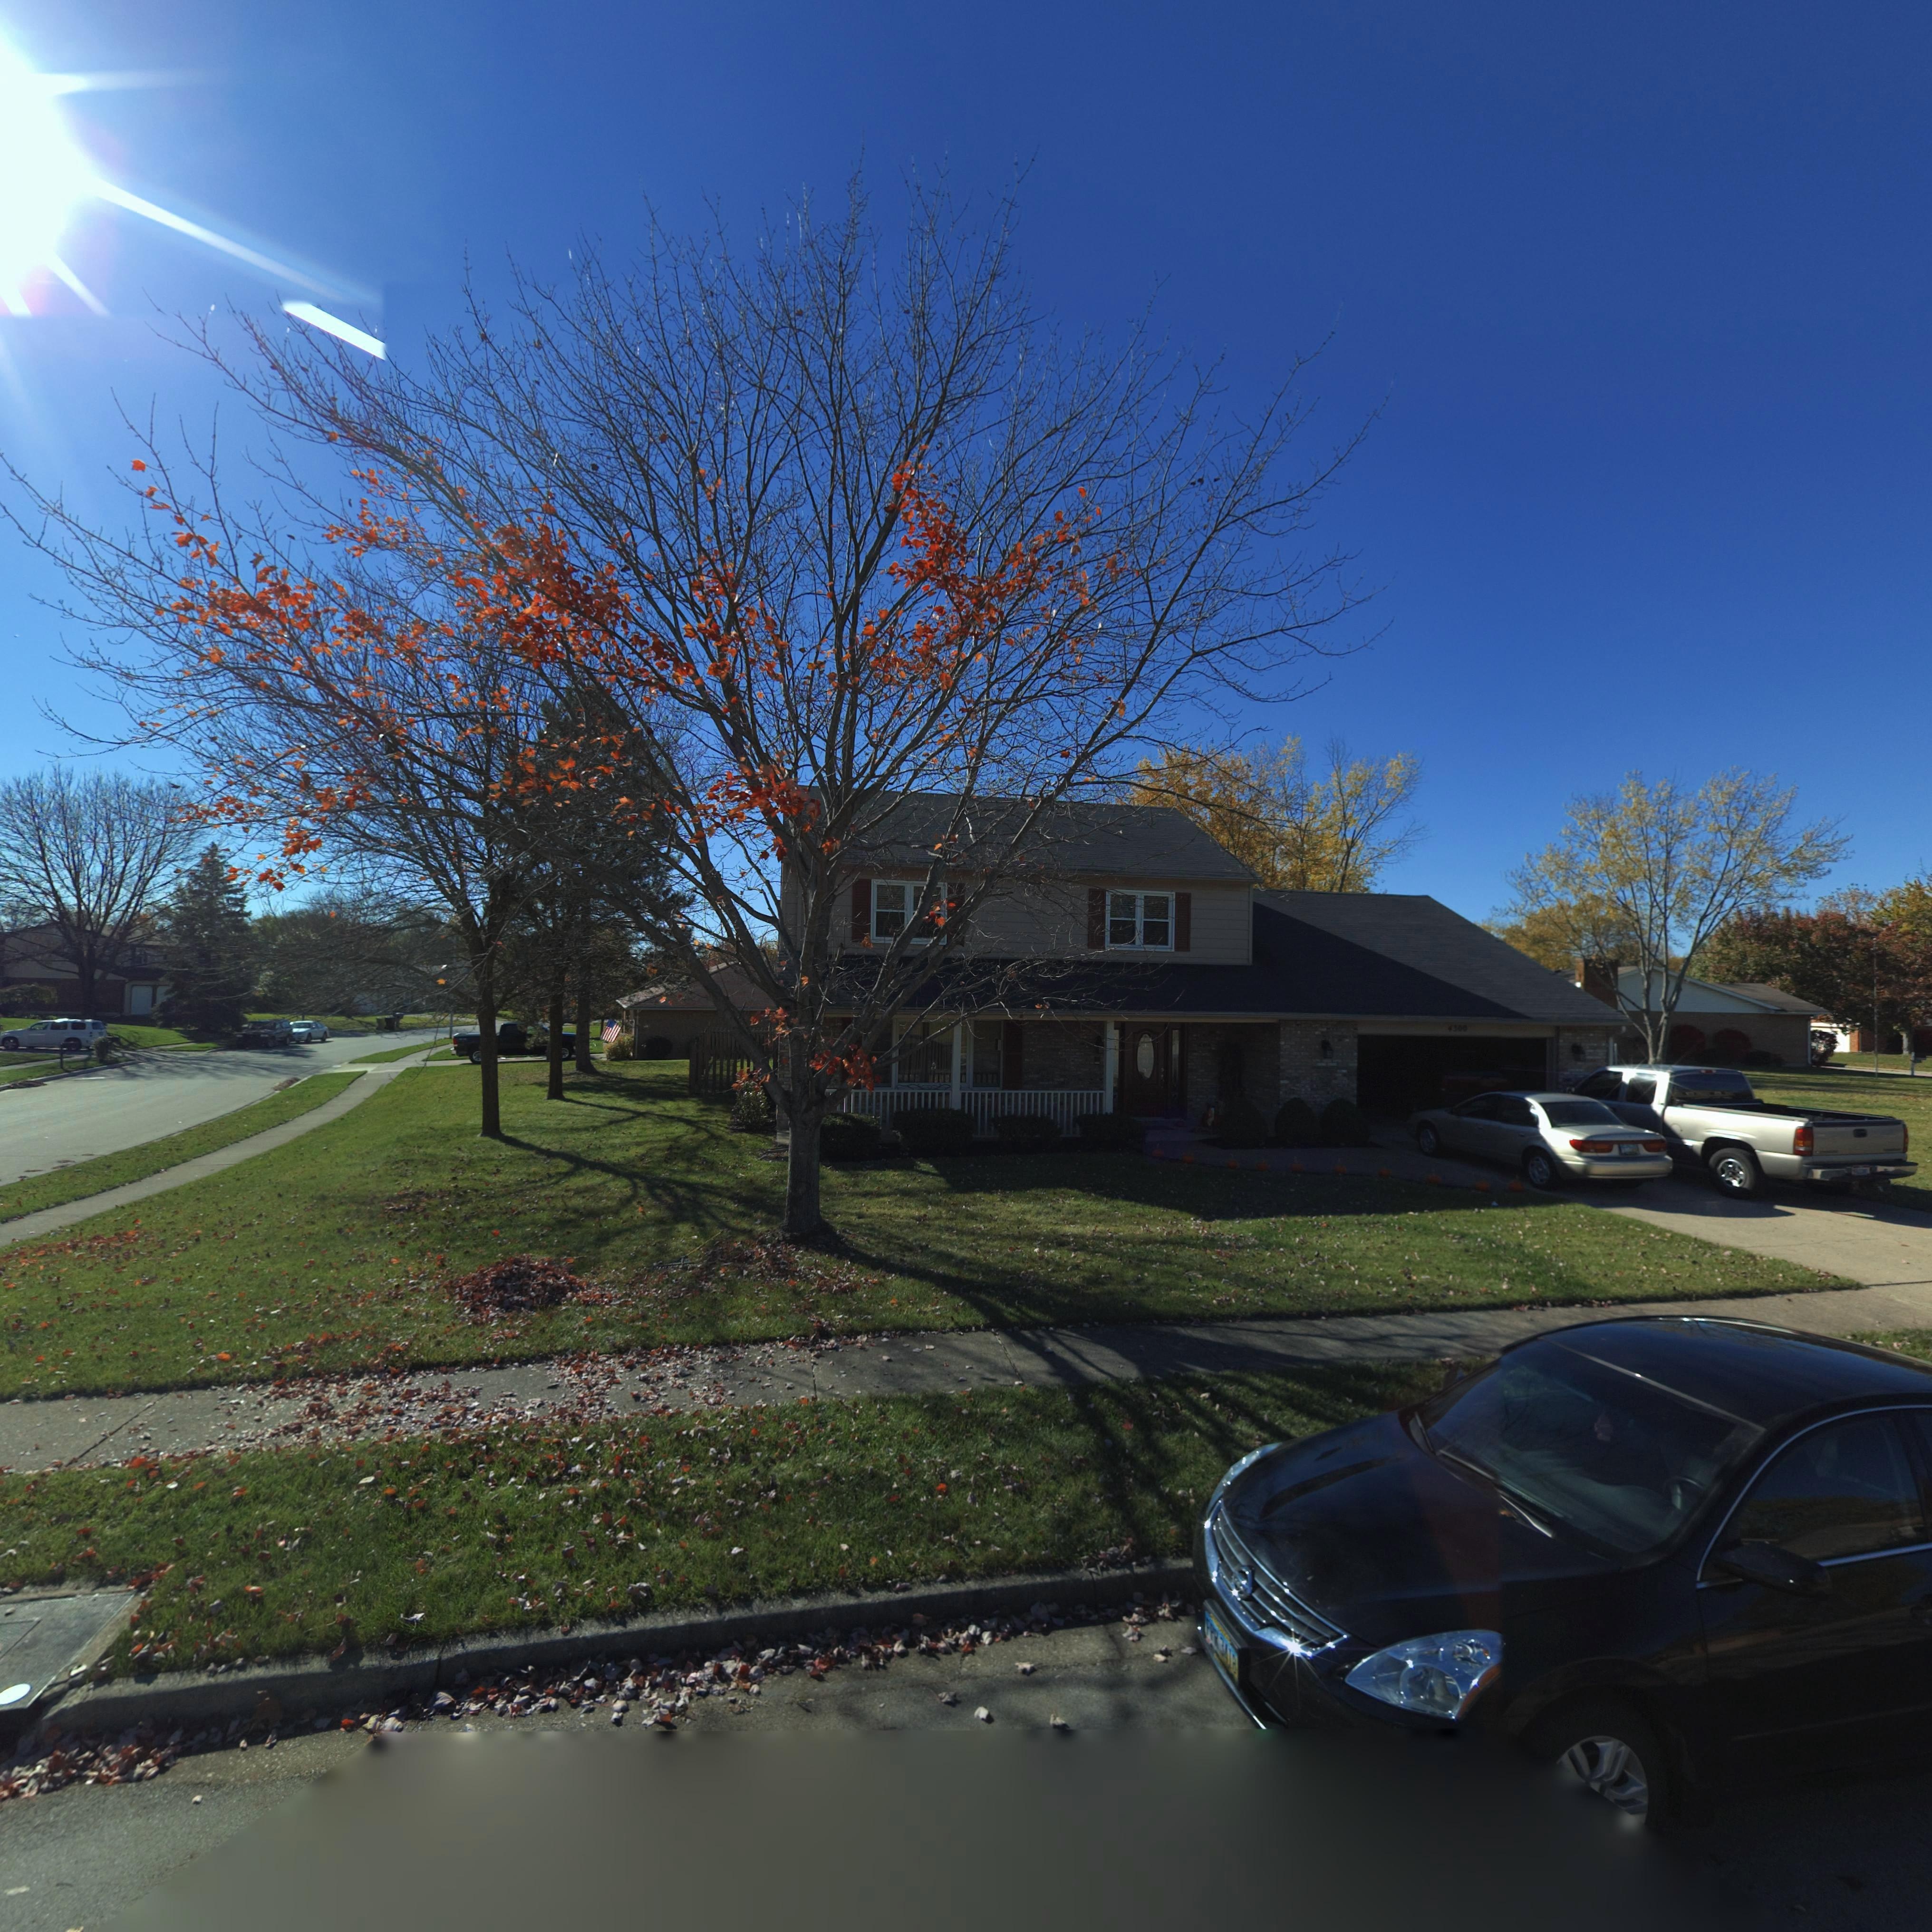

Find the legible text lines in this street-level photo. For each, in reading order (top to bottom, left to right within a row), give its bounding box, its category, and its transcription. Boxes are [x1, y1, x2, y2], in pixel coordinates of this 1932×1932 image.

[1447, 1024, 1468, 1032] StreetNumber: 4300